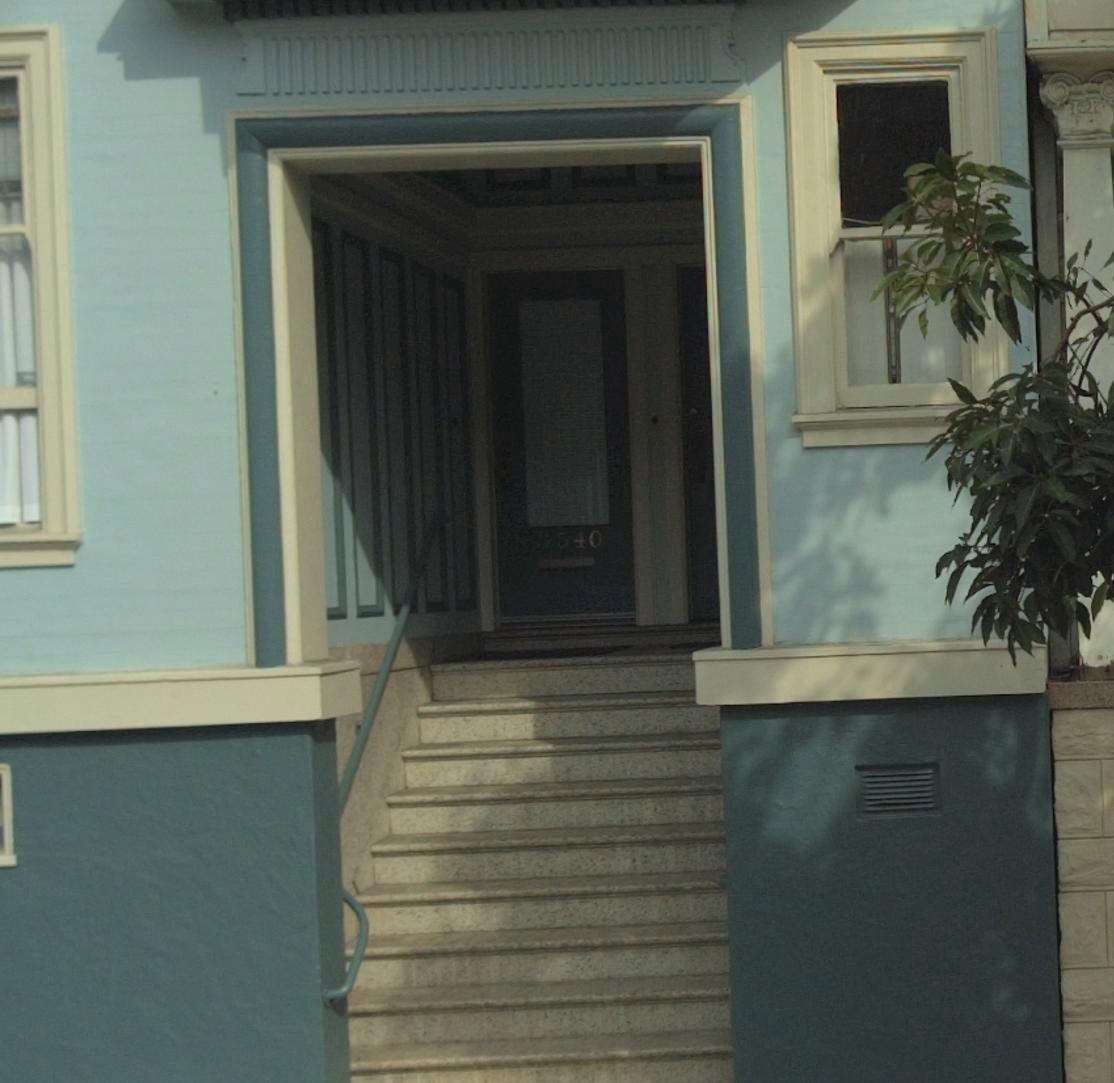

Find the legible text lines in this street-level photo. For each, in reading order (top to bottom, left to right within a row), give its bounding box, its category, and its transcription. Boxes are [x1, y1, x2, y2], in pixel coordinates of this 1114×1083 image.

[541, 529, 603, 551] StreetNumber: 3540